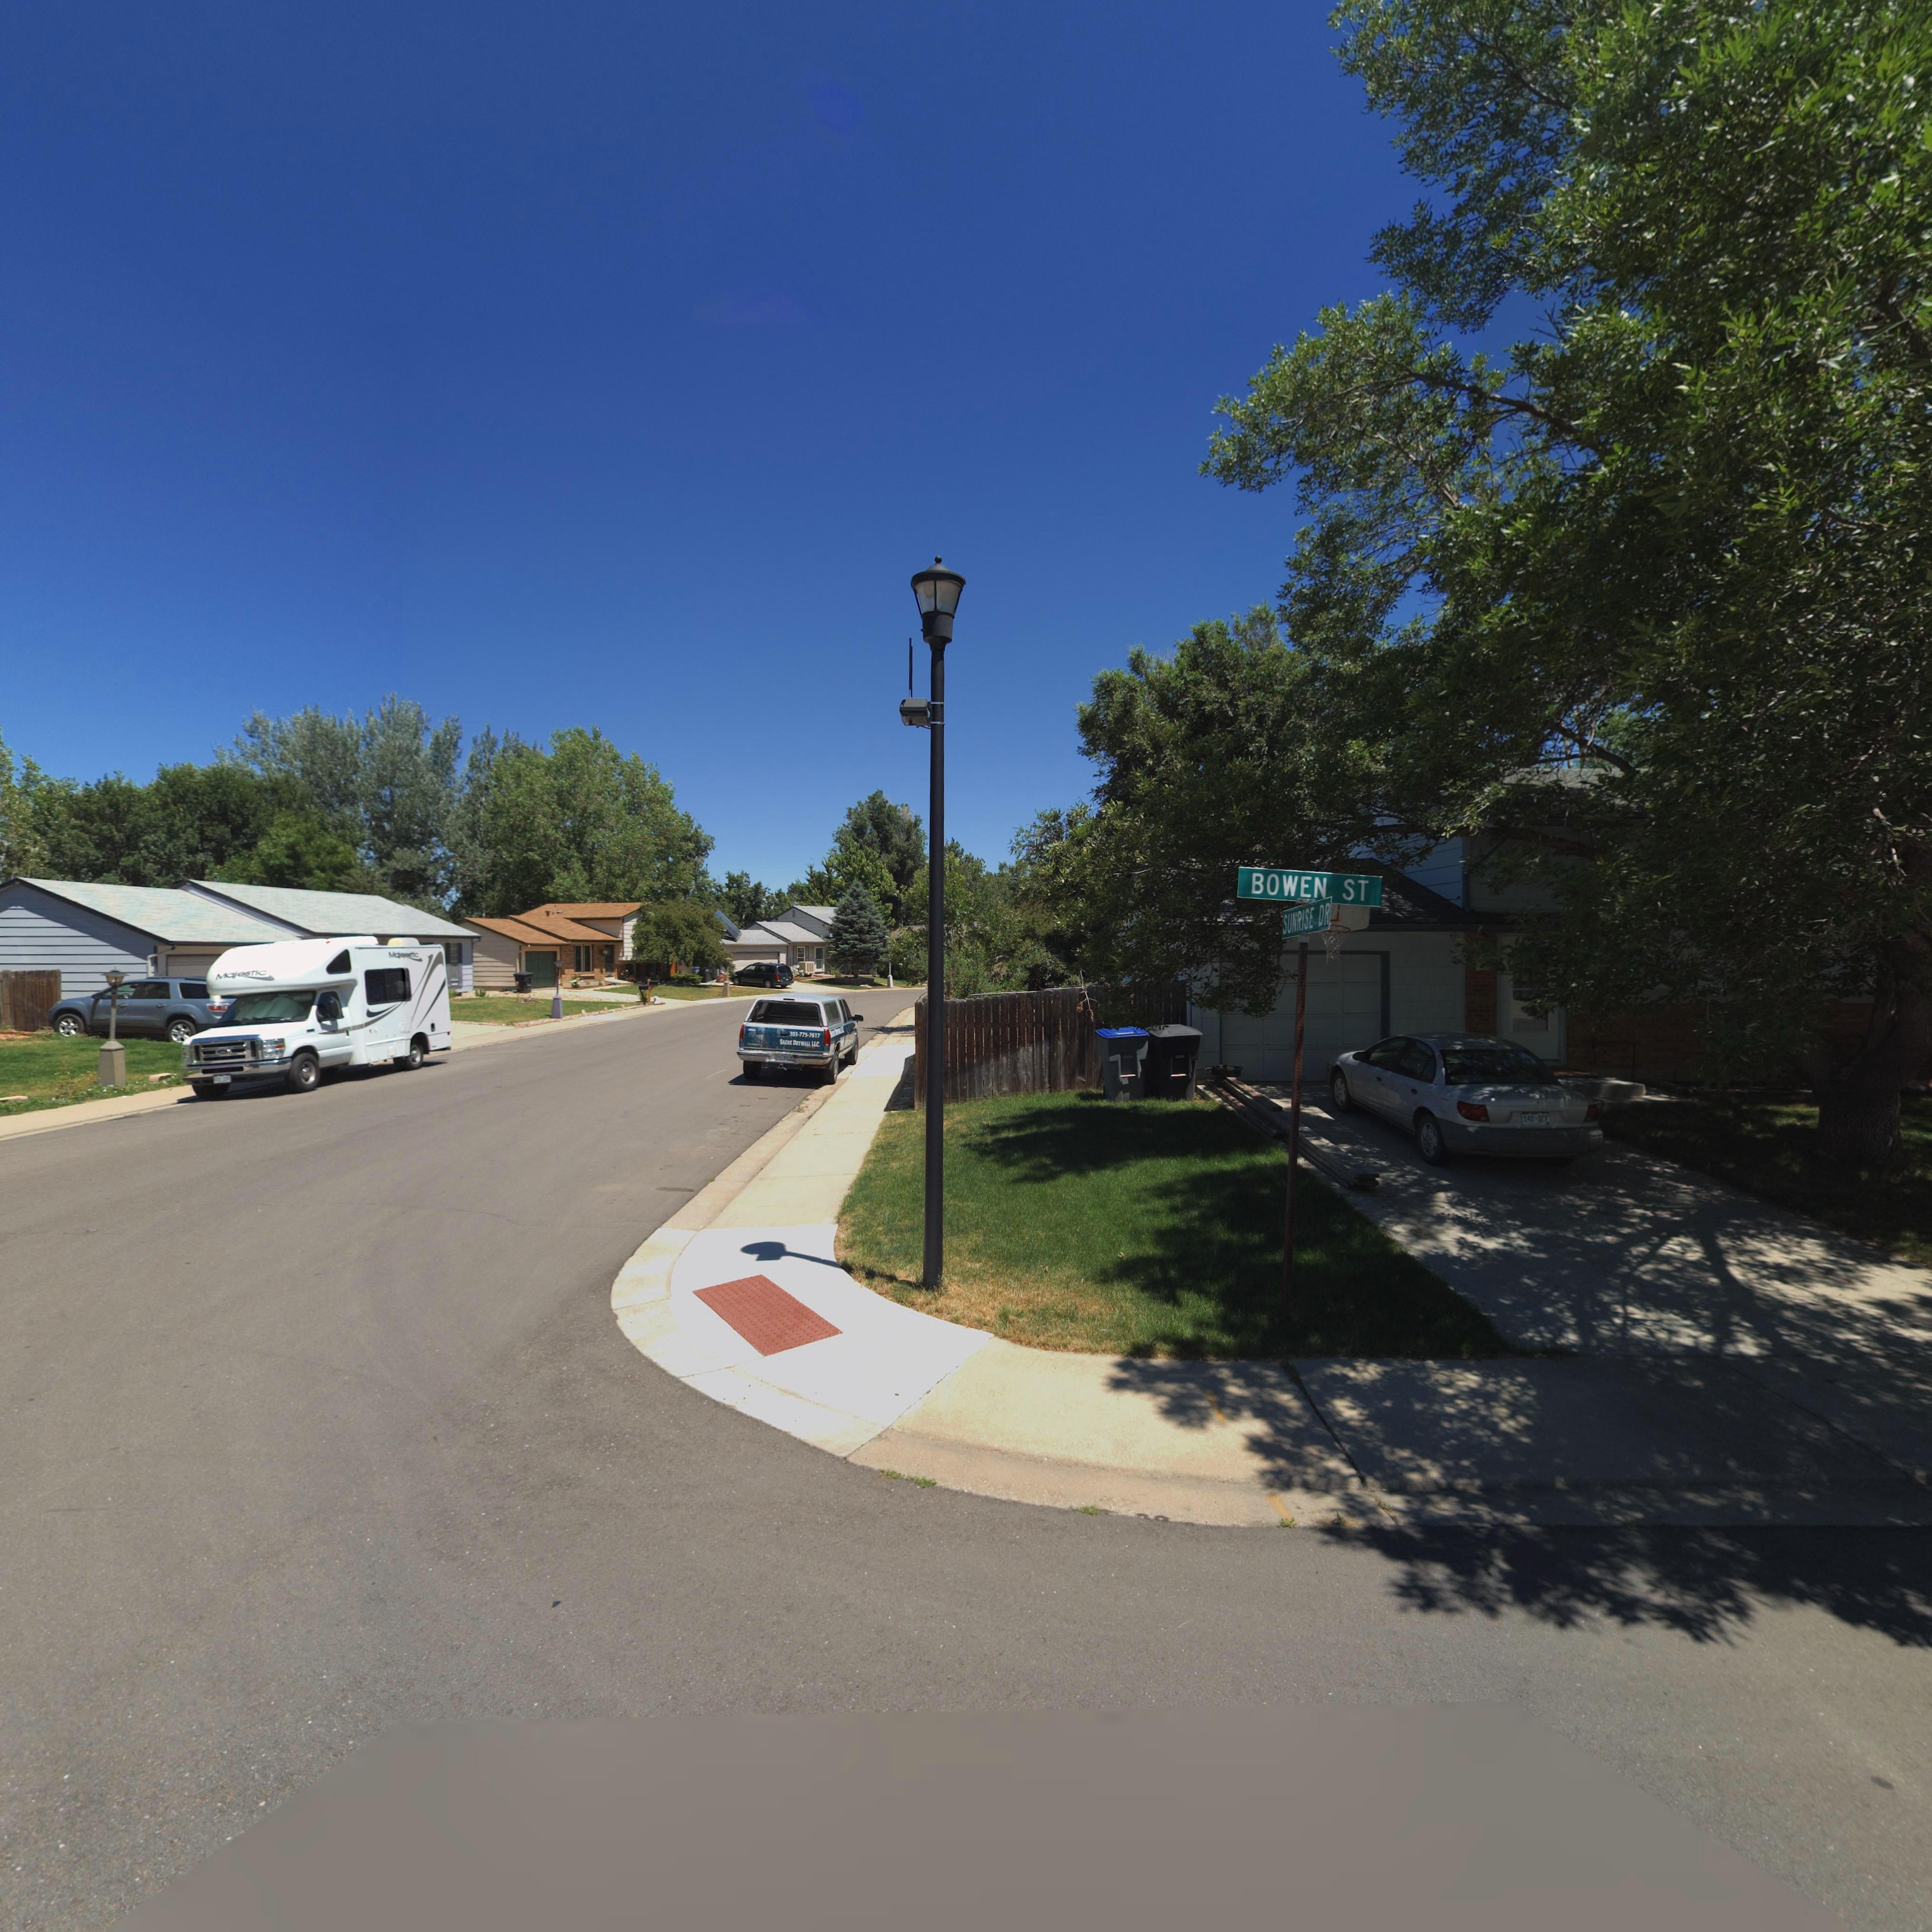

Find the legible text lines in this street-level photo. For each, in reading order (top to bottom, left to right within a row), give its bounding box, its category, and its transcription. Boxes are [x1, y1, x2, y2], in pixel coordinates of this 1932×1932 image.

[1250, 871, 1371, 902] StreetName: BOWEN ST
[1282, 902, 1331, 936] StreetName: SUNRISE DR